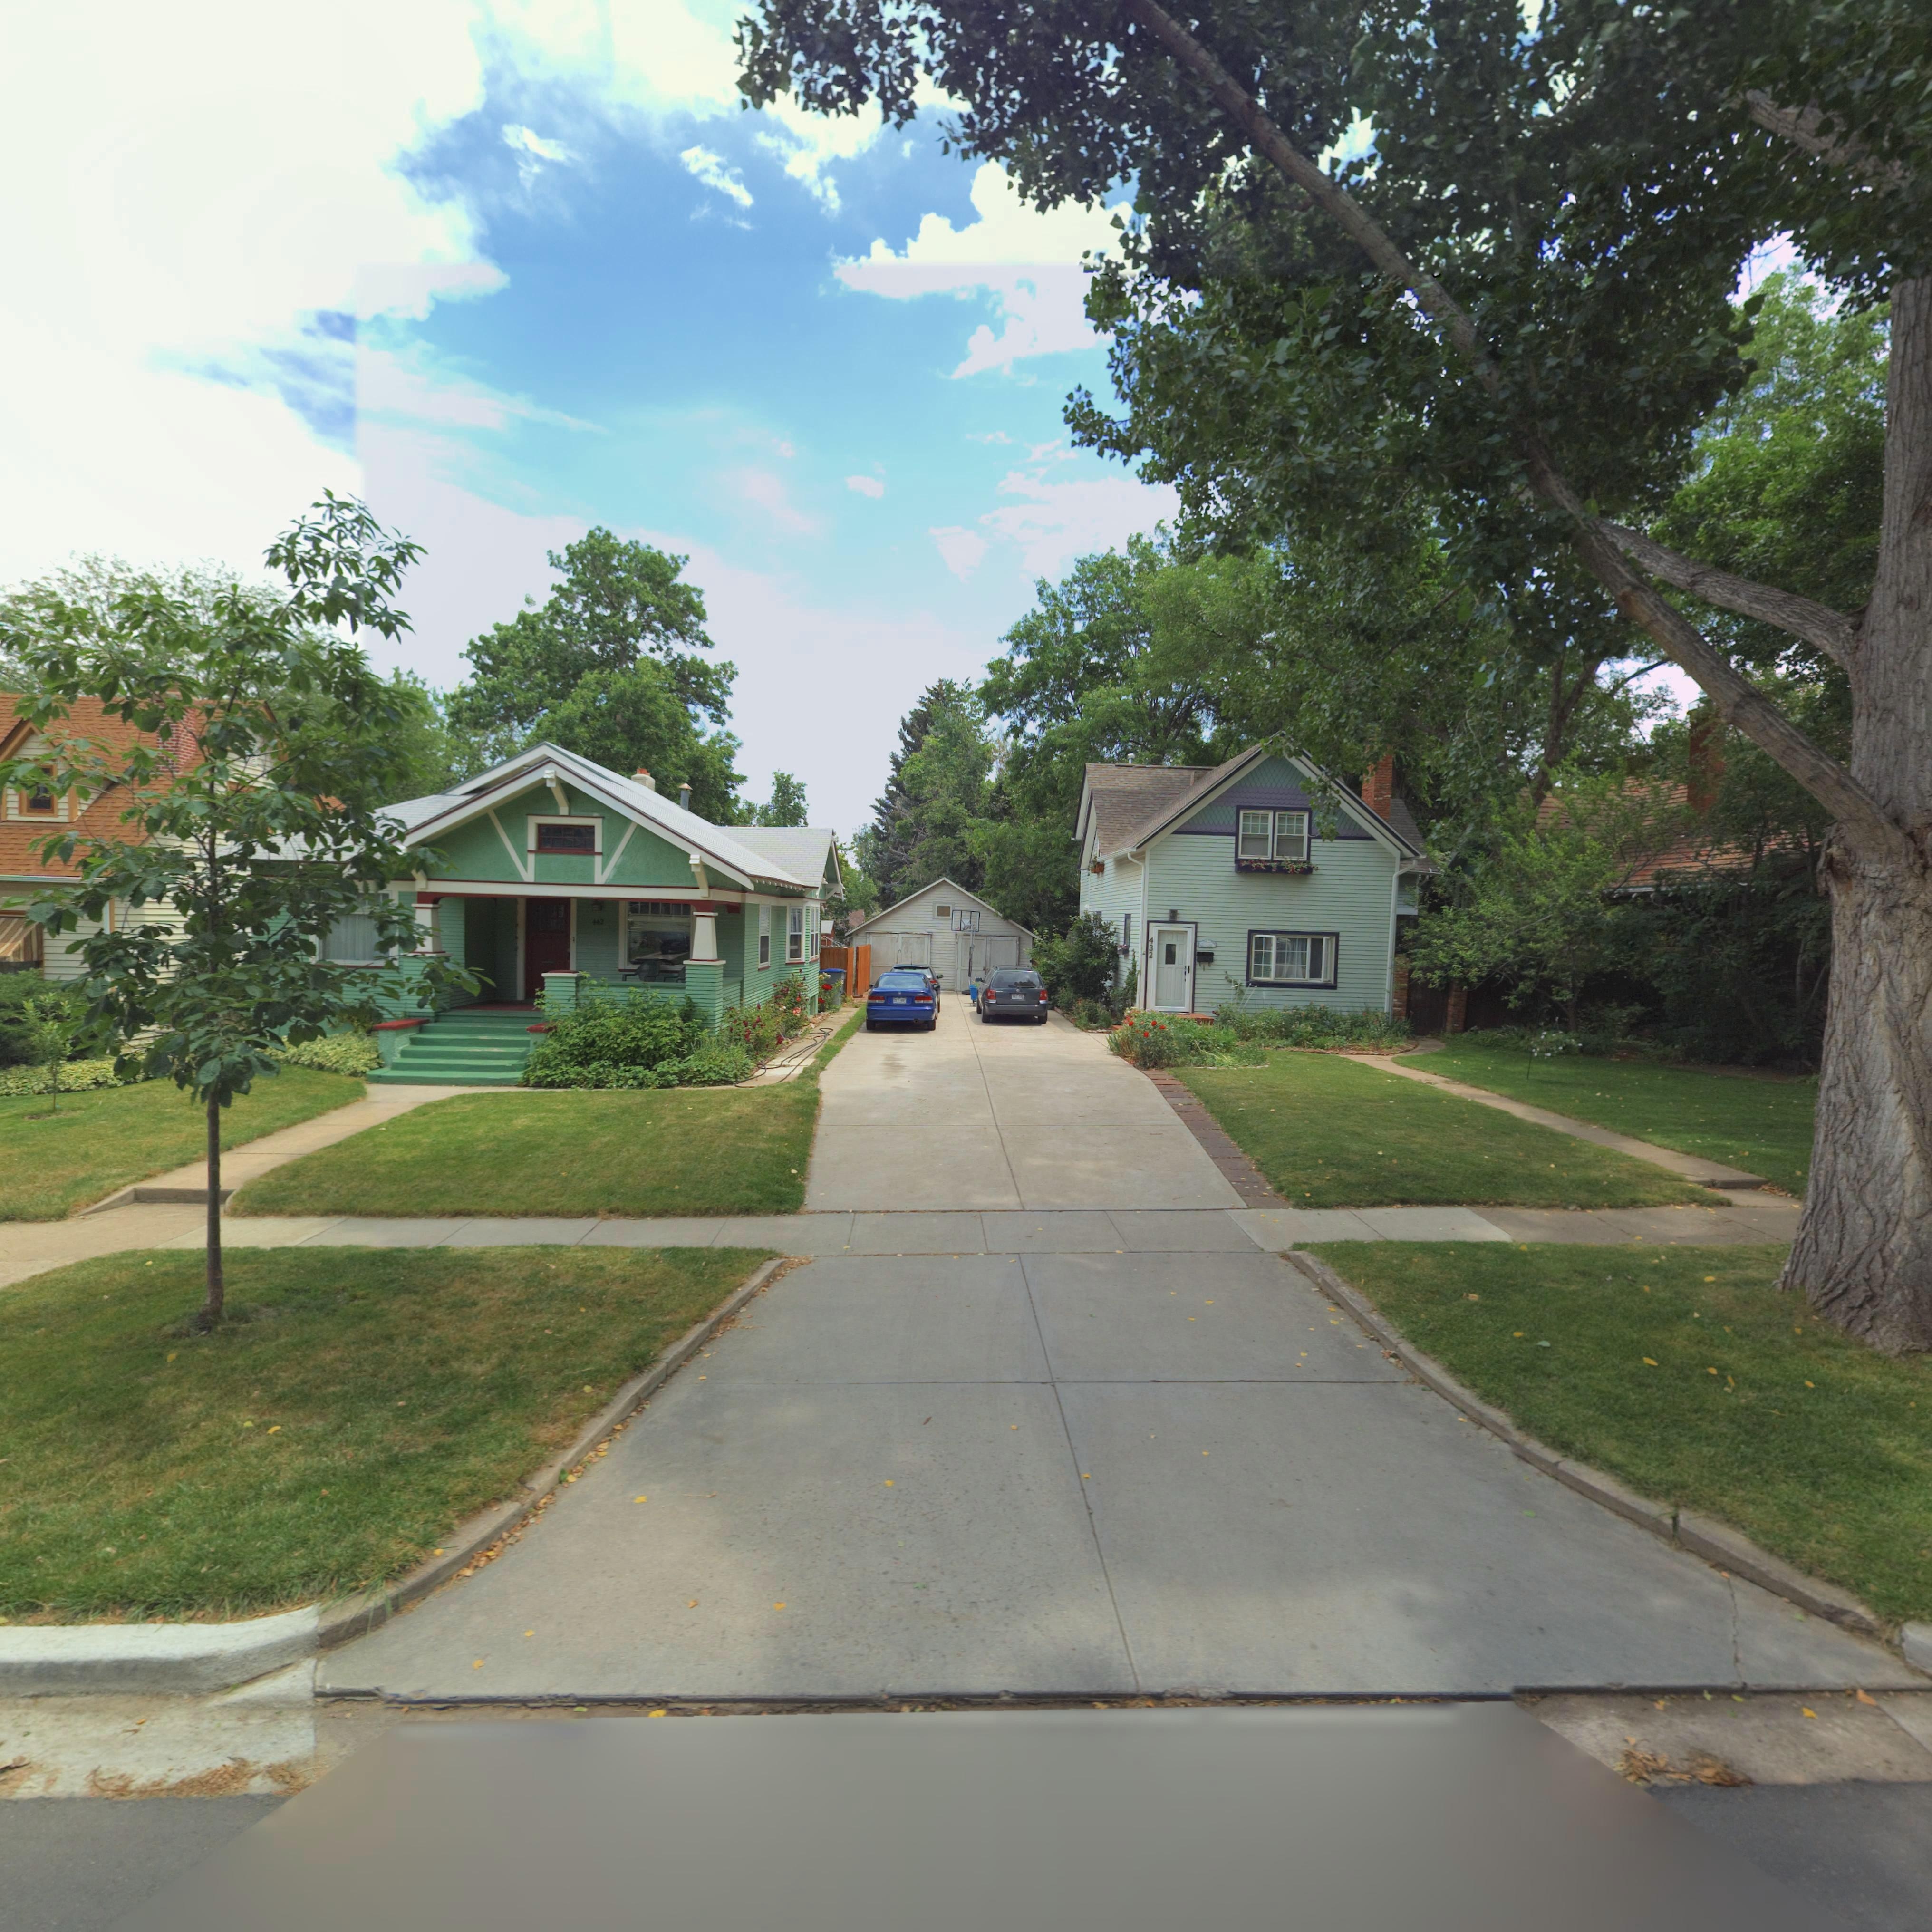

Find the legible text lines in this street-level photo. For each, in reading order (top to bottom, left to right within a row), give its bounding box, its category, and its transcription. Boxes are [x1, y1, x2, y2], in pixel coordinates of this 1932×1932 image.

[591, 918, 604, 926] StreetNumber: 442
[1148, 937, 1154, 958] StreetNumber: 432